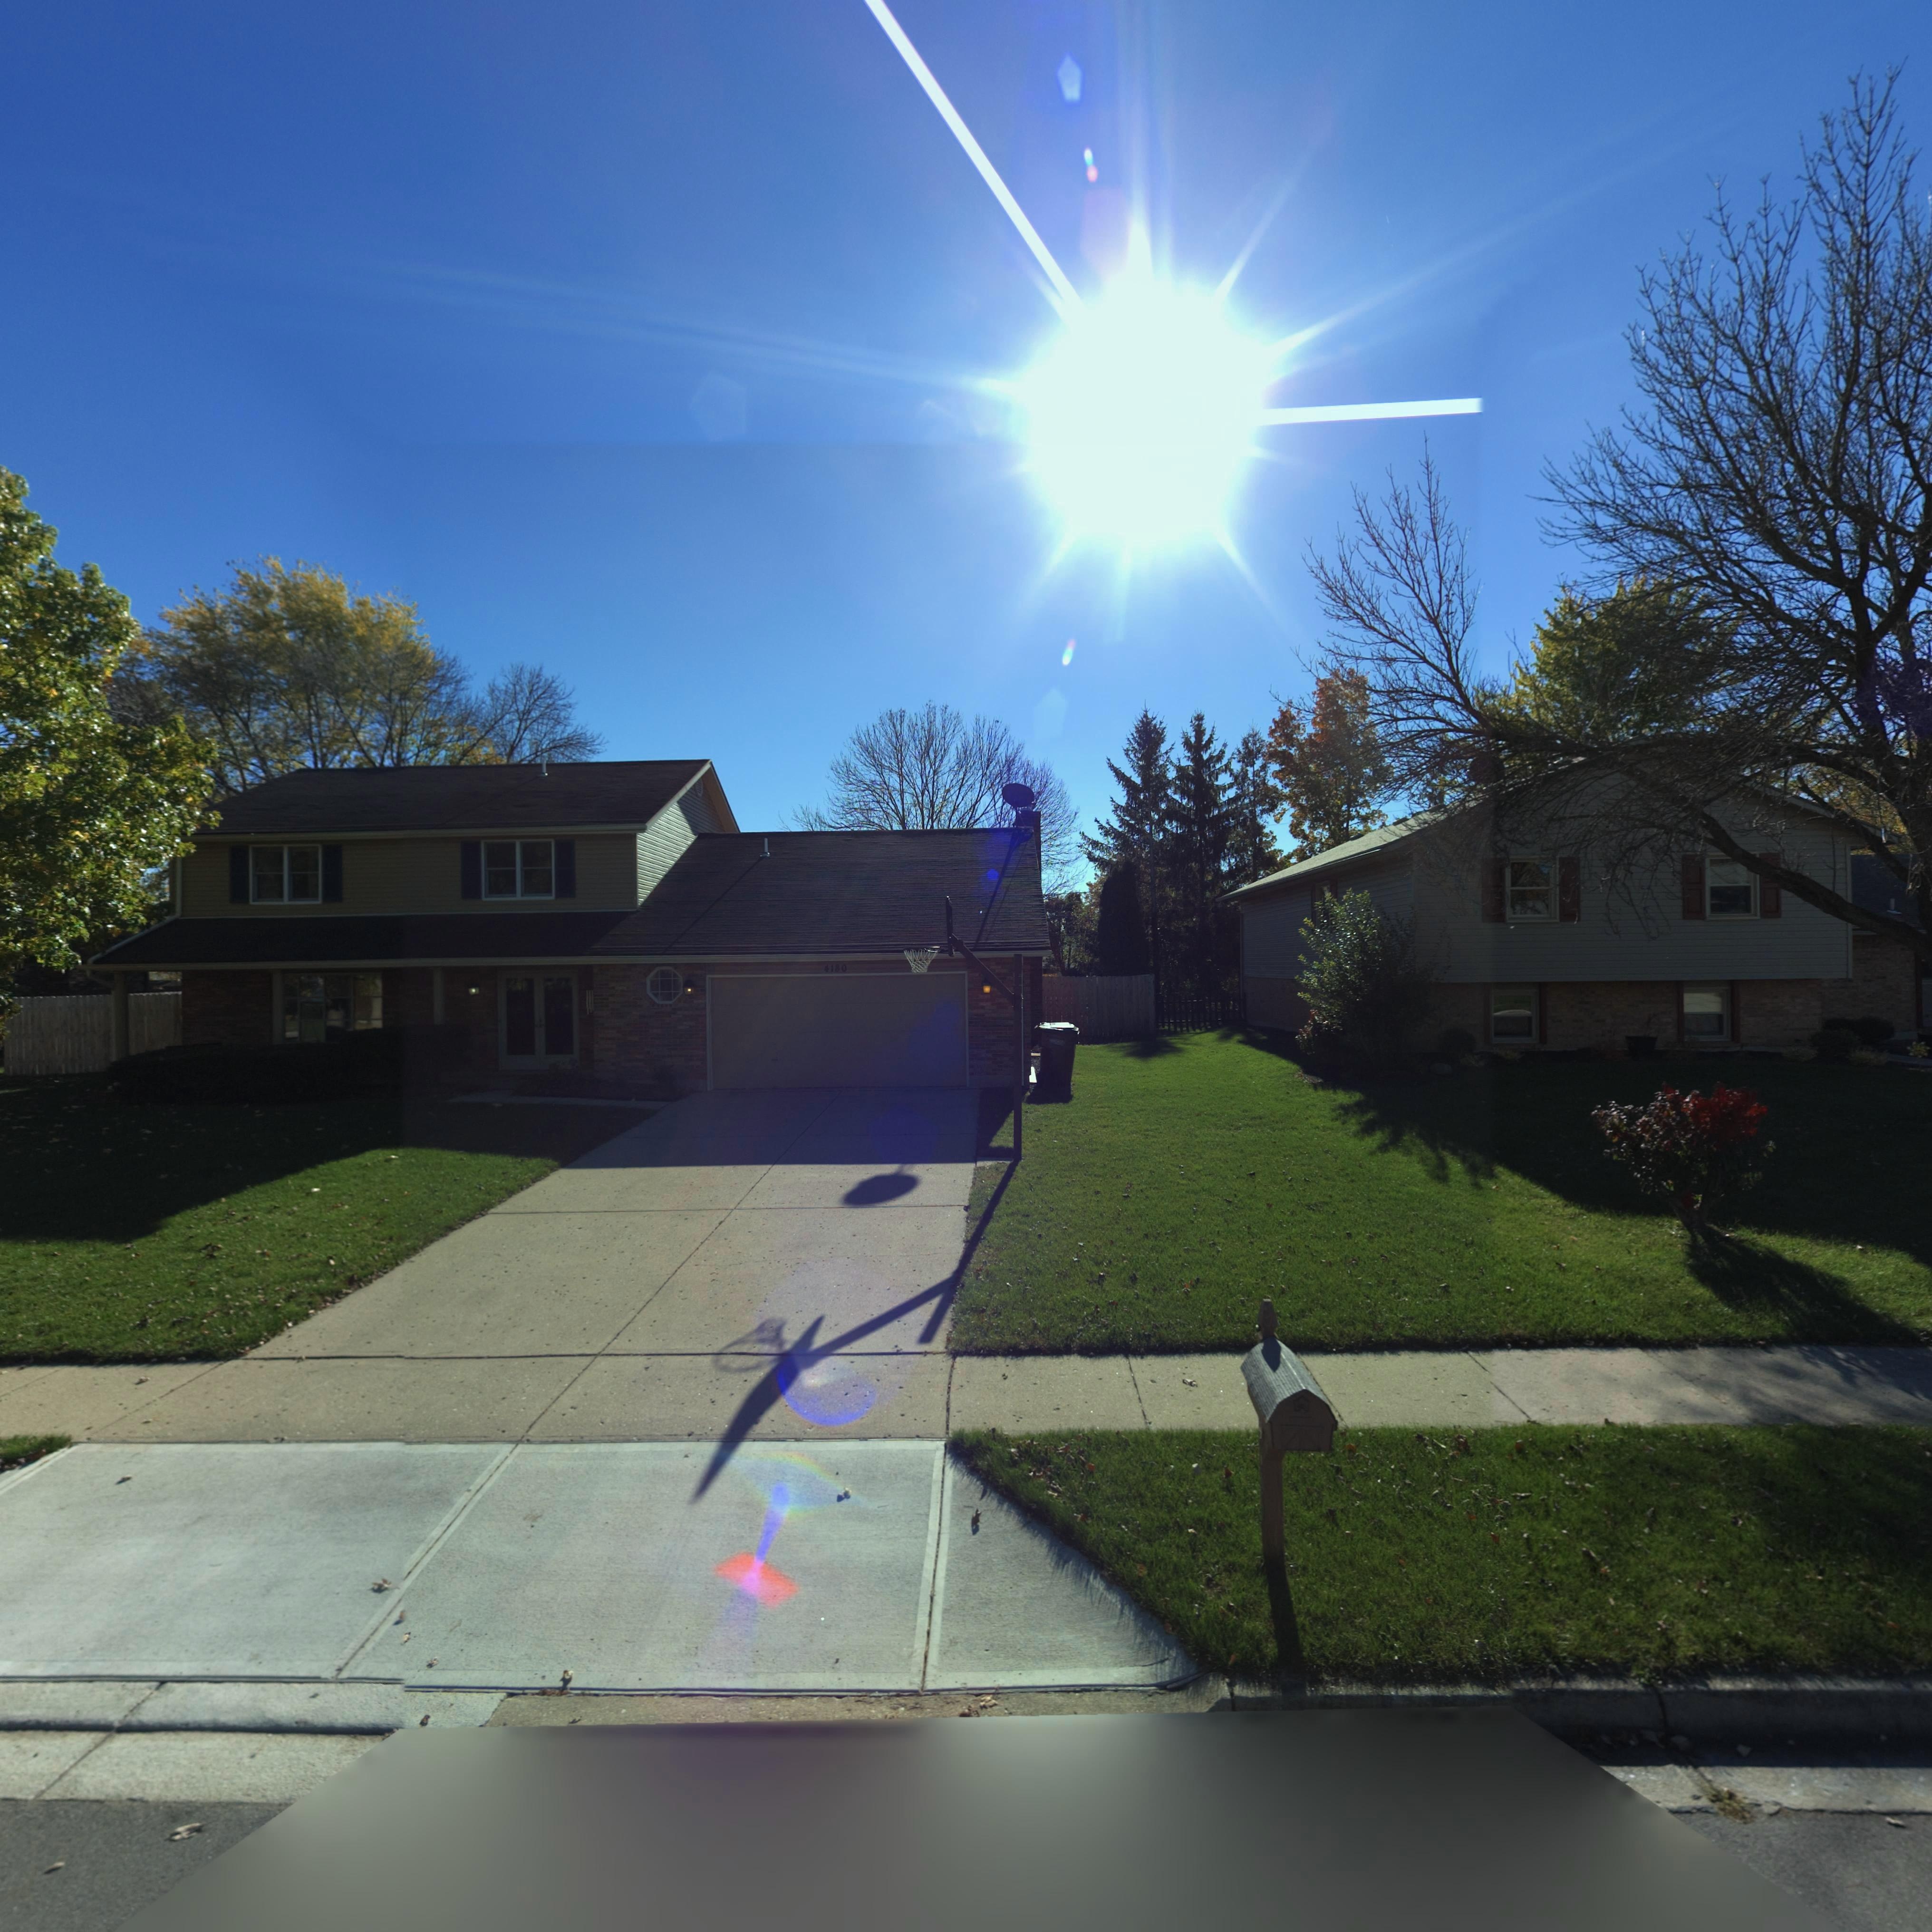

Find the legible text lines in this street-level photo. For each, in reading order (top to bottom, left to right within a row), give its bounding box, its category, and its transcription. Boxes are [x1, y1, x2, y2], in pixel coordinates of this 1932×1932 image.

[823, 963, 848, 974] StreetNumber: 4180